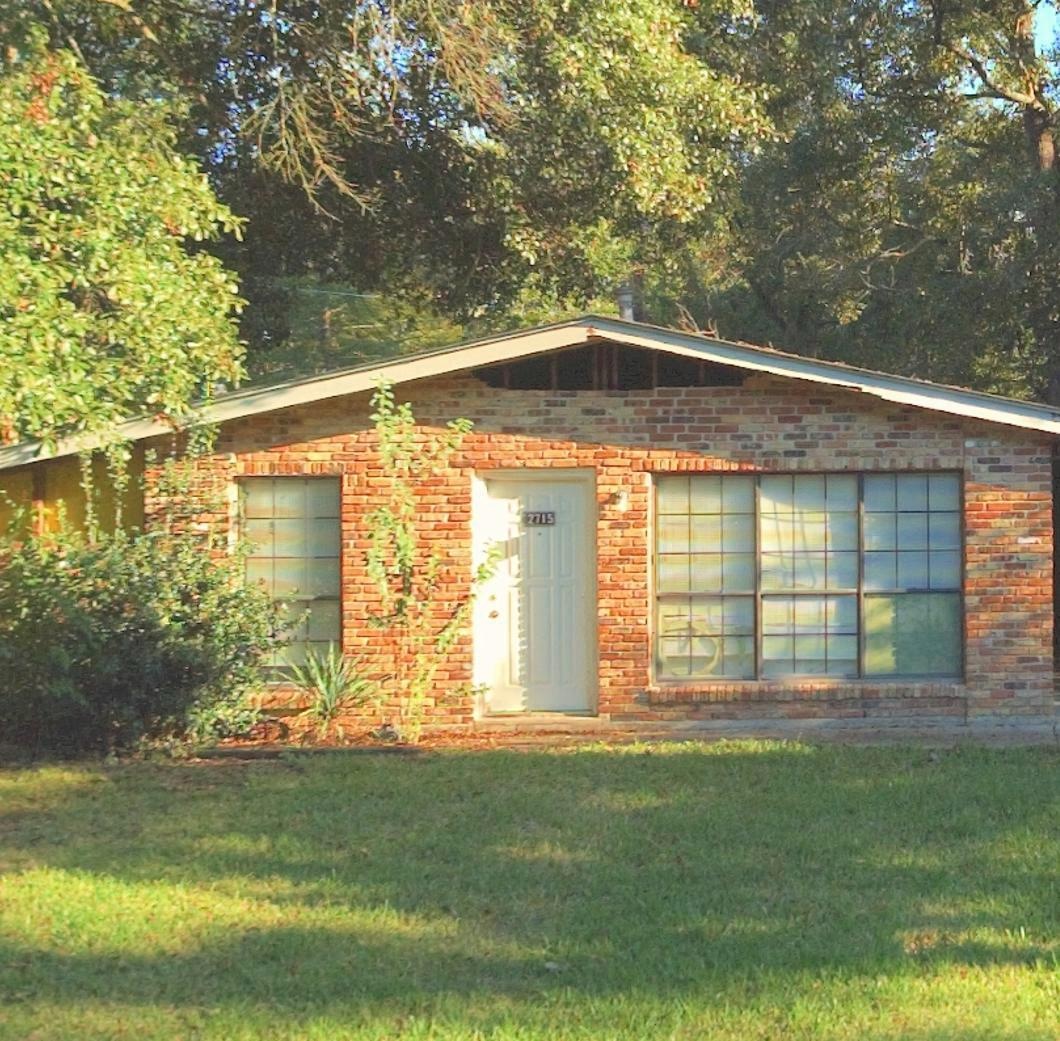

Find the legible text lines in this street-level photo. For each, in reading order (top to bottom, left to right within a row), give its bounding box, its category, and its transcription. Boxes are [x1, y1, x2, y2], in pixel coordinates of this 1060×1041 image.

[527, 513, 554, 524] StreetNumber: 2715